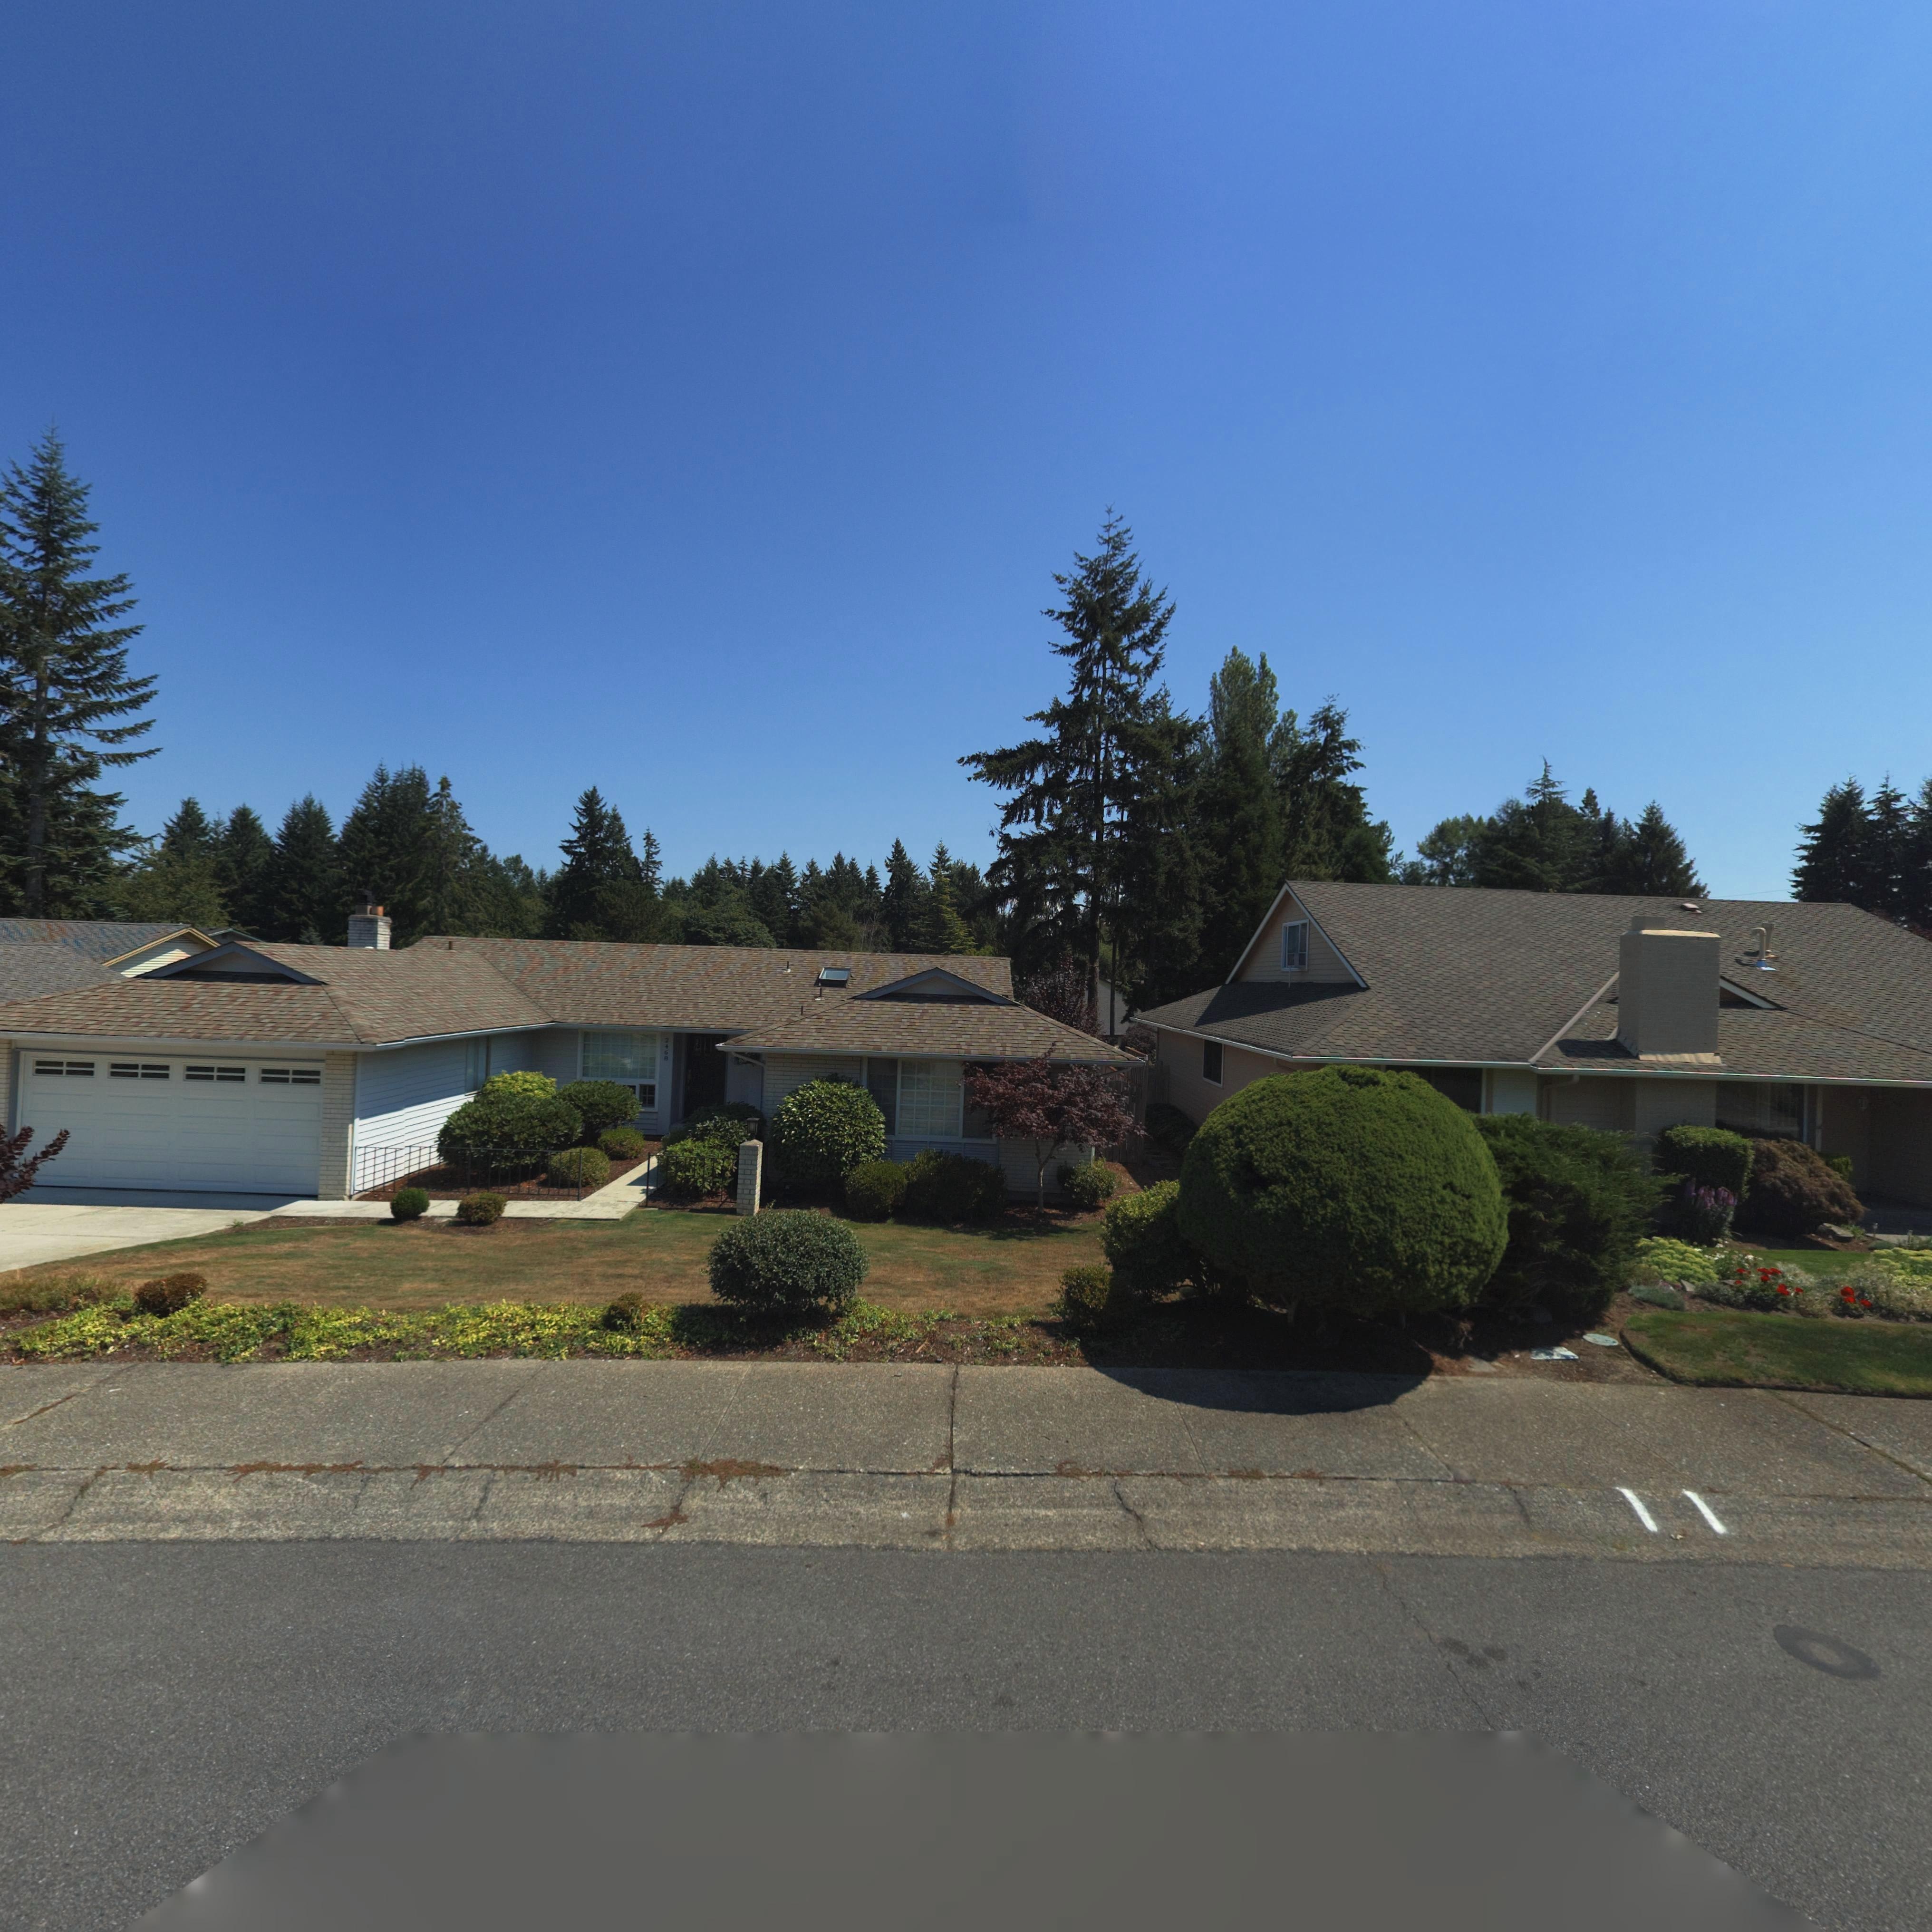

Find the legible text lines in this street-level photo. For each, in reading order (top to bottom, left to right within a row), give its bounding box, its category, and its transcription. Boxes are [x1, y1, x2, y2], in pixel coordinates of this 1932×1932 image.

[664, 1037, 668, 1060] StreetNumber: 2468